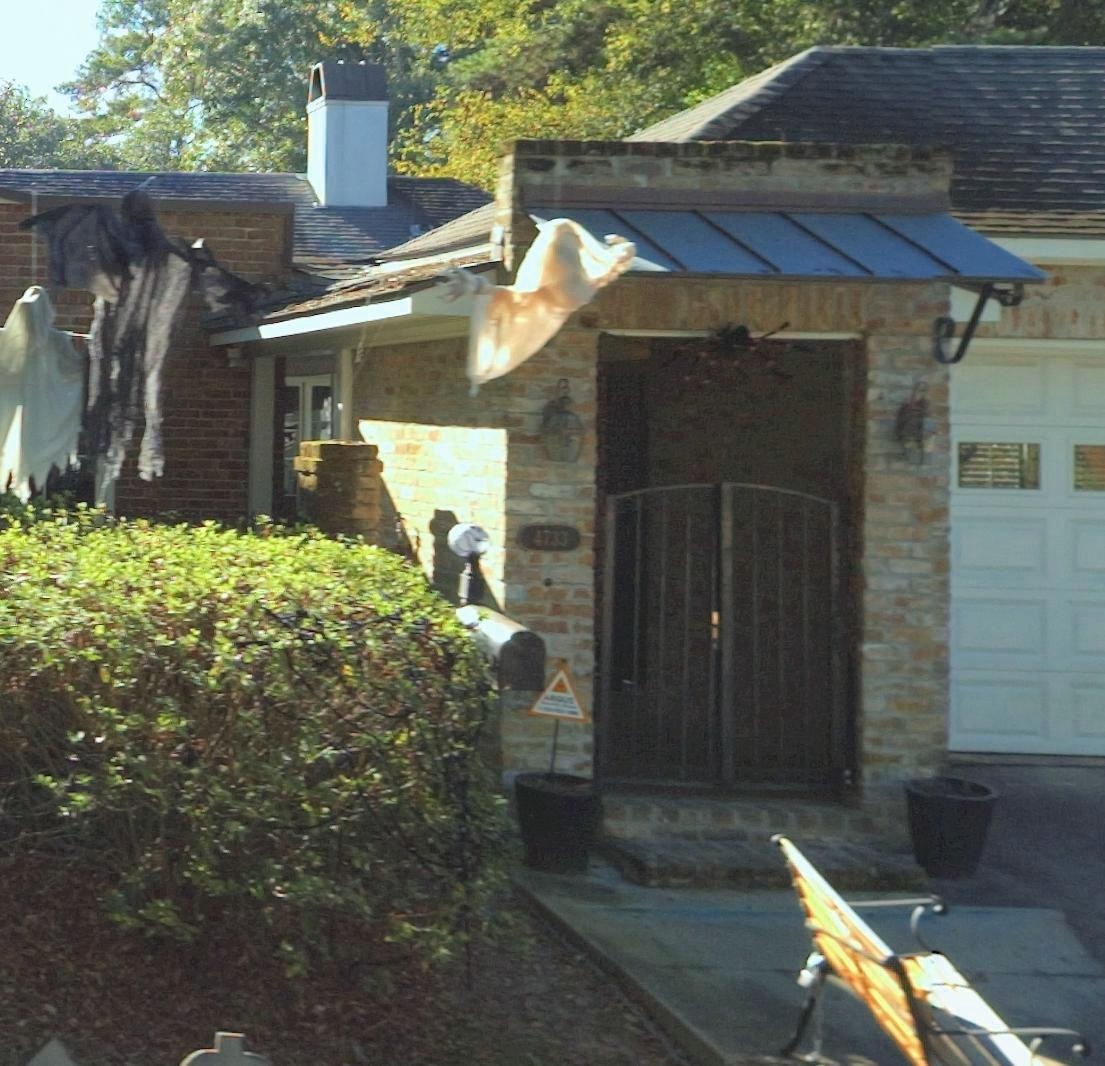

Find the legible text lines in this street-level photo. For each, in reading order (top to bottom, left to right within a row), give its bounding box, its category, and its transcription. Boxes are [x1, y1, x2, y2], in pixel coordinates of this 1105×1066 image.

[529, 527, 570, 550] StreetNumber: 4733